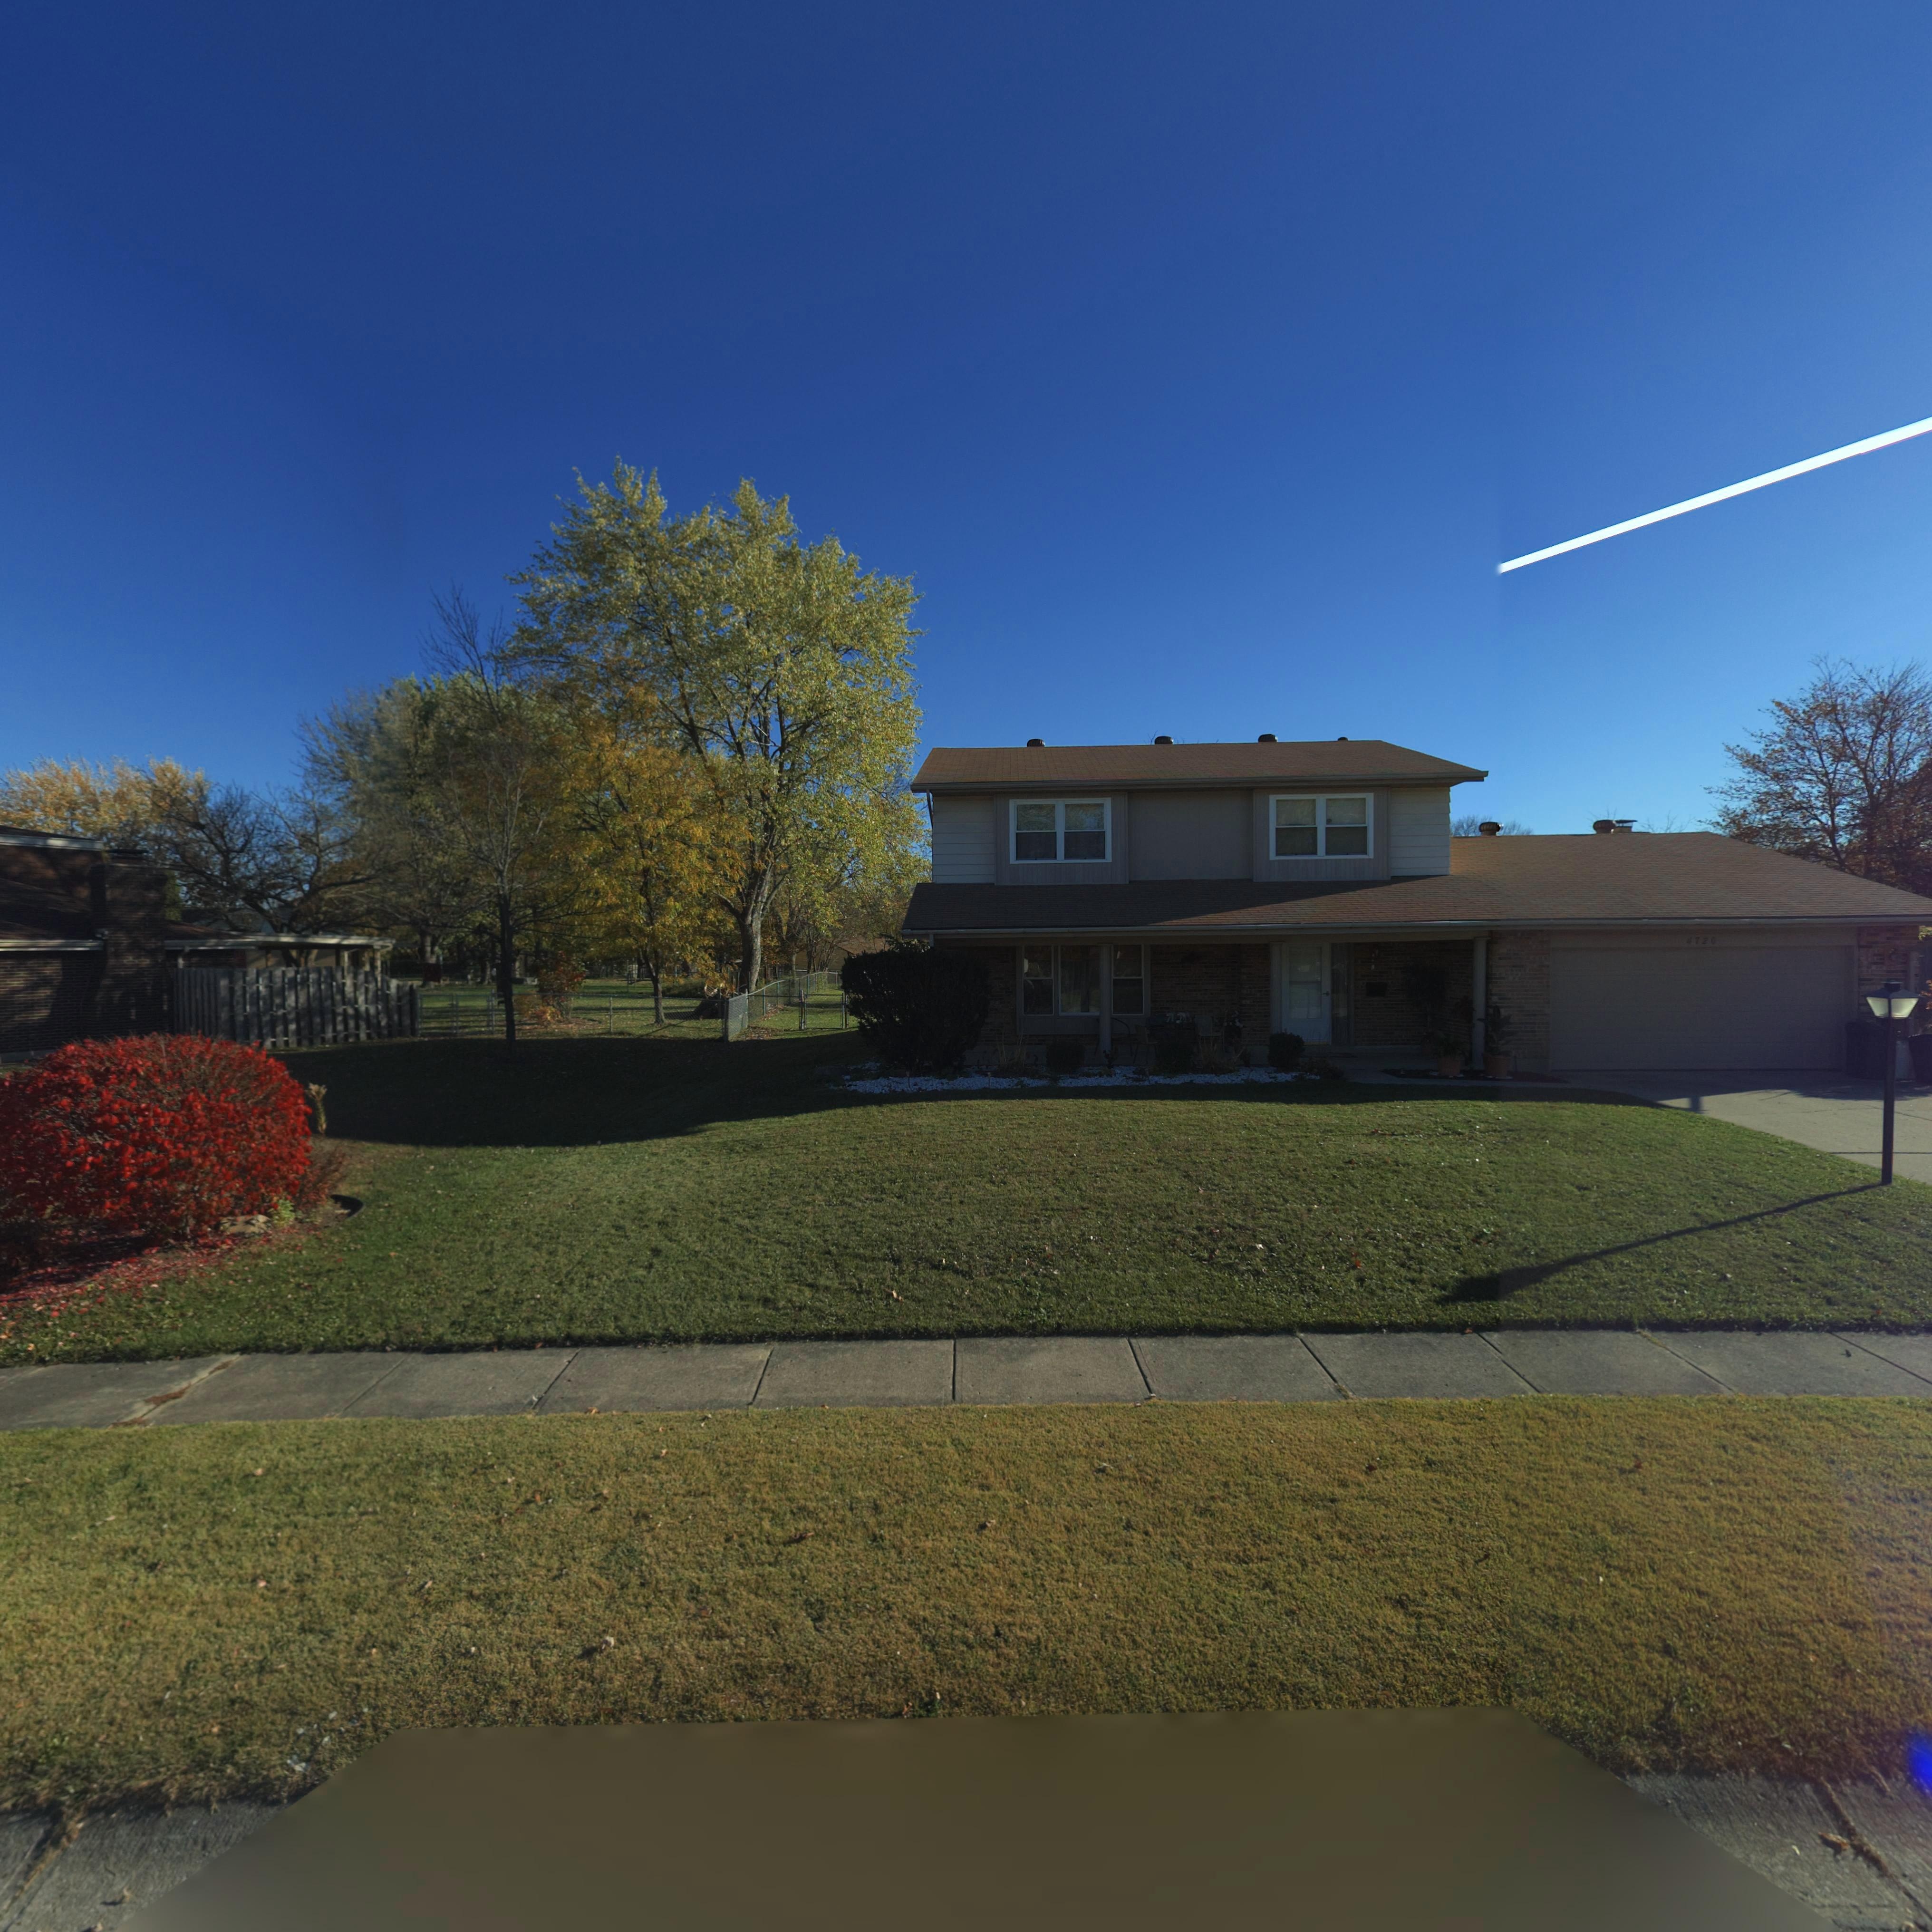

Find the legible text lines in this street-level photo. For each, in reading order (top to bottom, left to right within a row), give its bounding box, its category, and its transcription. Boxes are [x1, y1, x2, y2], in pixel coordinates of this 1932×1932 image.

[1685, 936, 1717, 946] StreetNumber: 4720